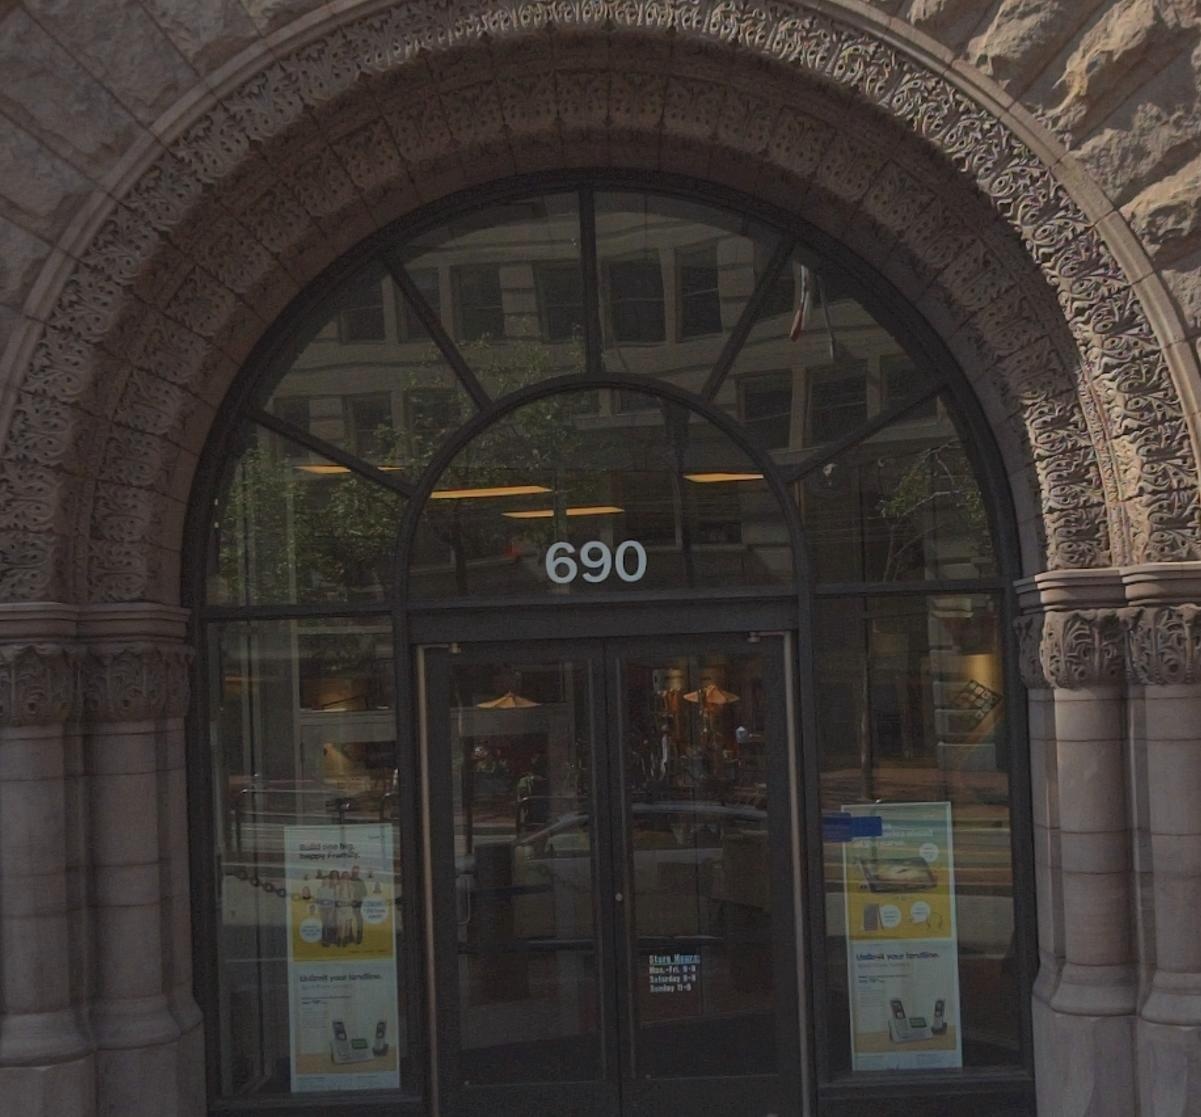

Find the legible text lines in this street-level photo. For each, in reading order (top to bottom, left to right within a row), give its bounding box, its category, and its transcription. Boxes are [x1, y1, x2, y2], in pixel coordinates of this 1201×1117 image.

[542, 538, 649, 587] StreetNumber: 690